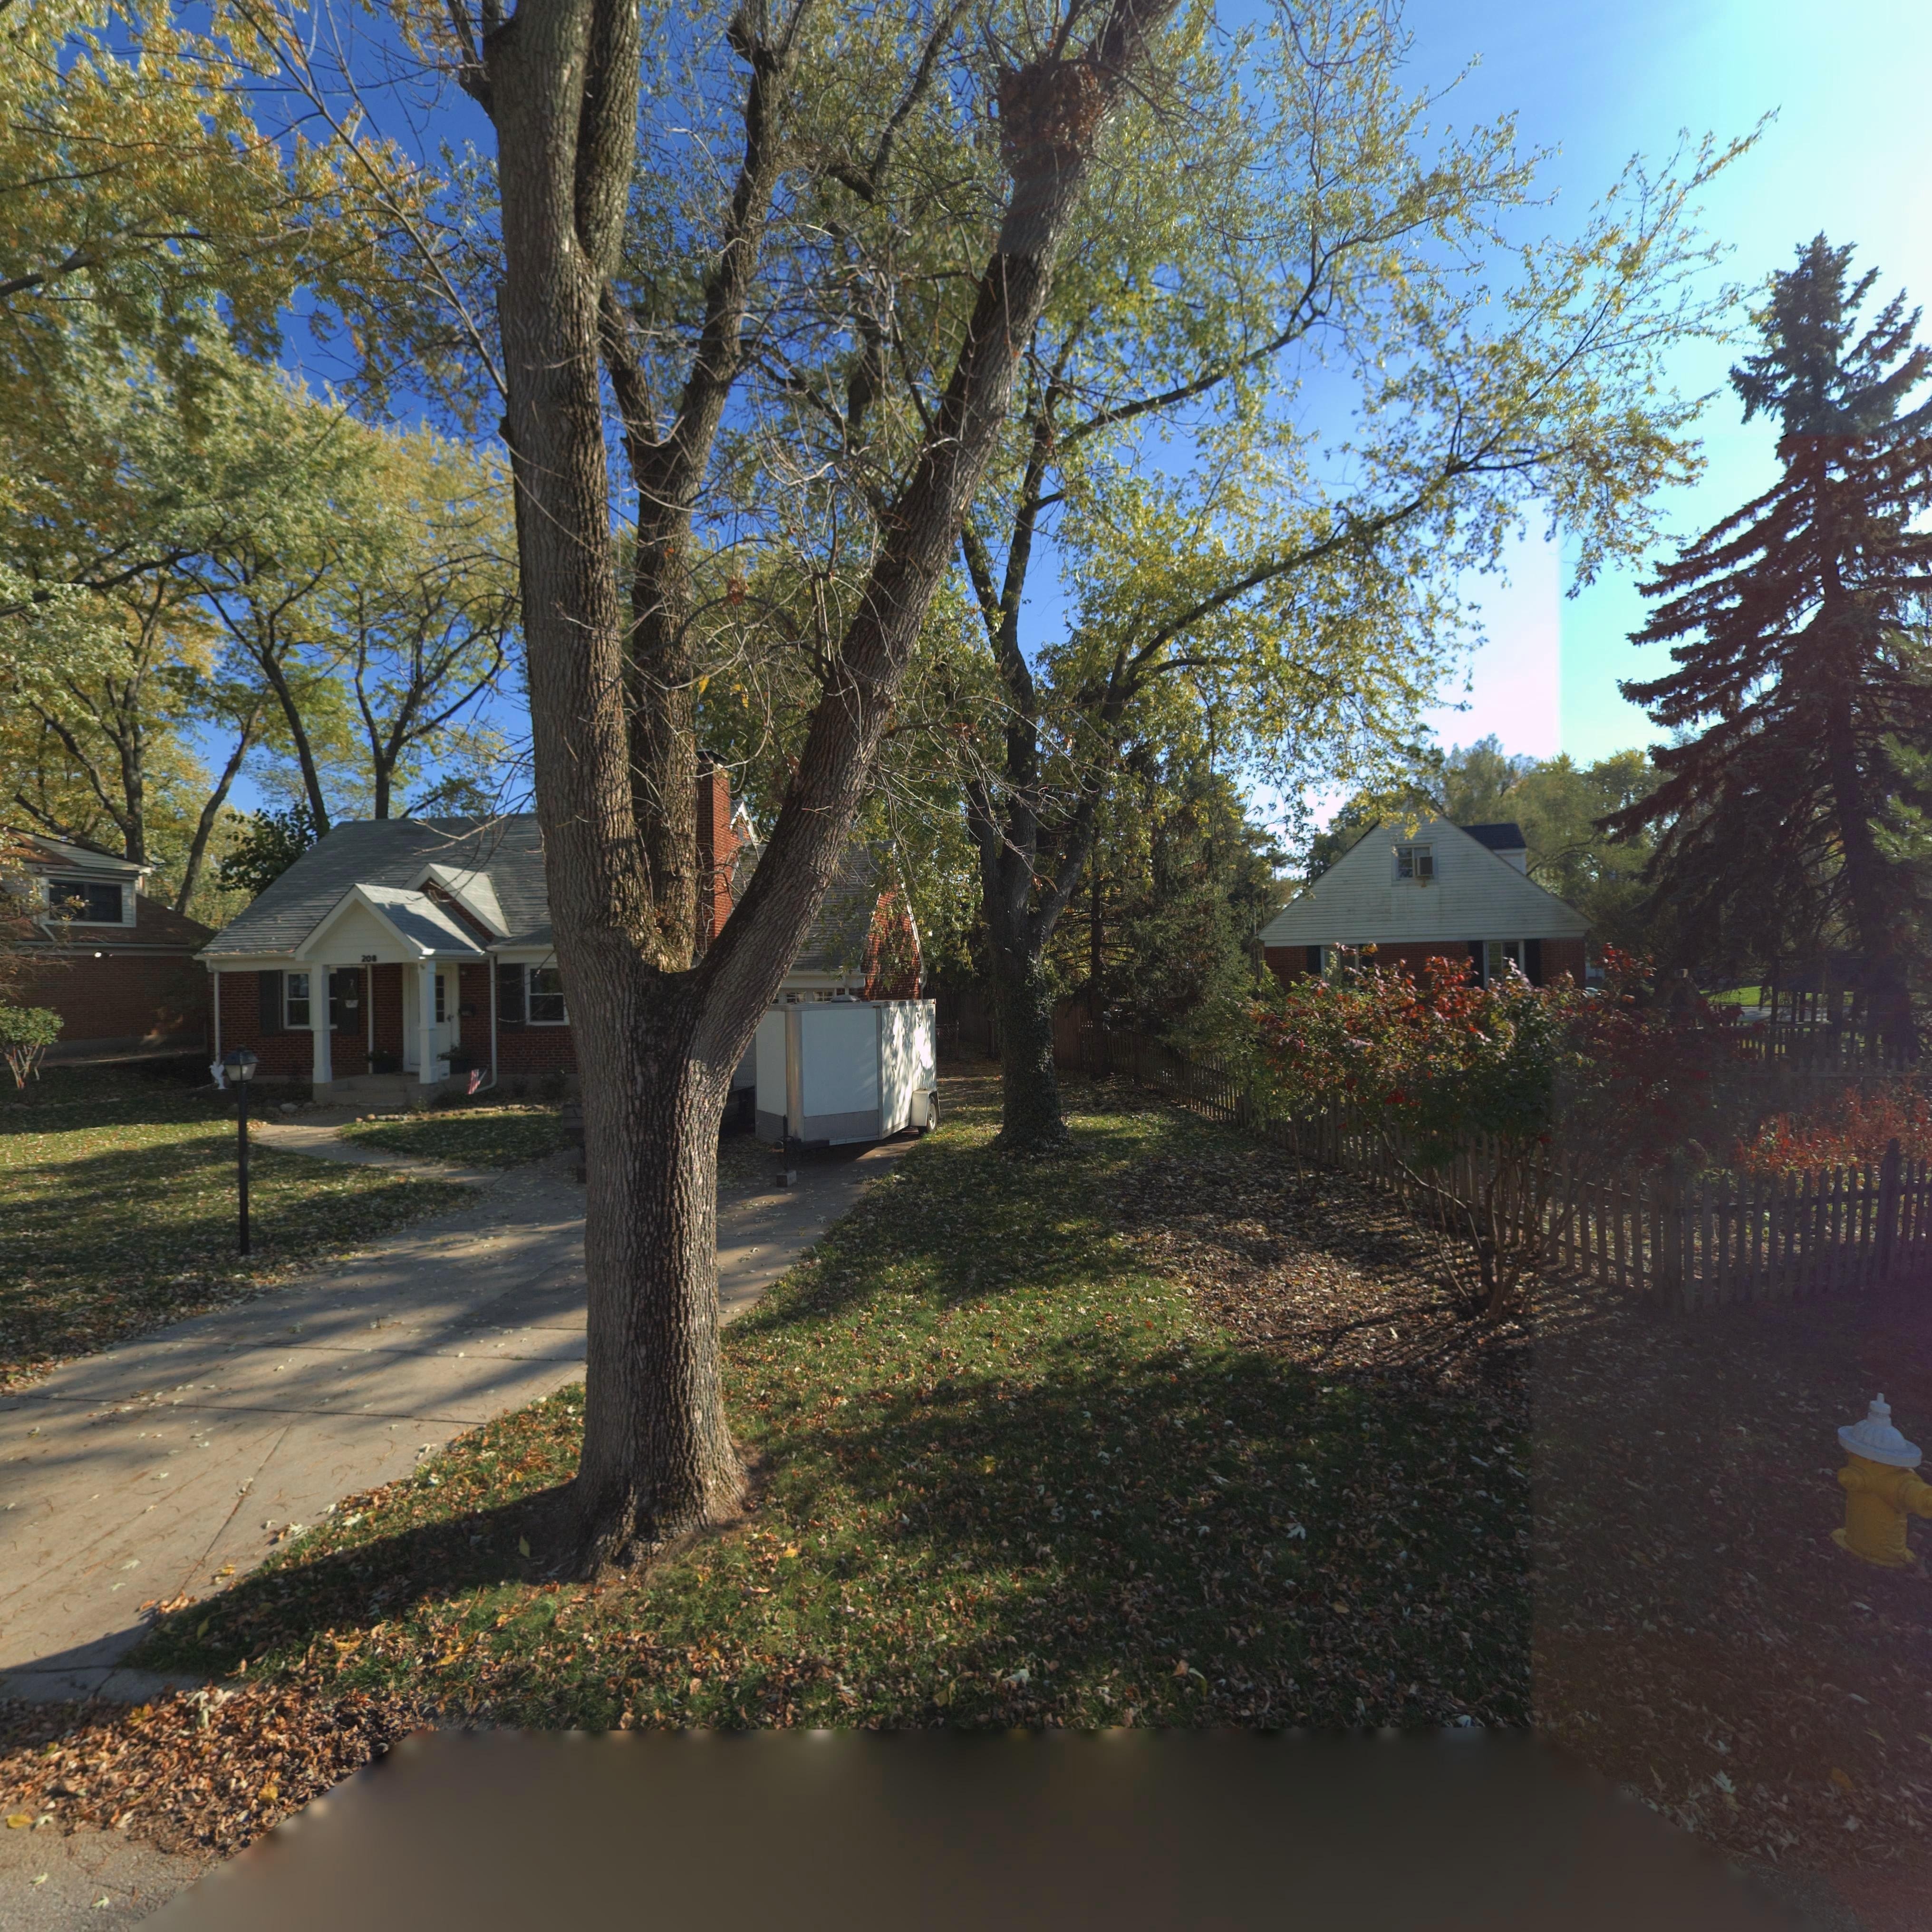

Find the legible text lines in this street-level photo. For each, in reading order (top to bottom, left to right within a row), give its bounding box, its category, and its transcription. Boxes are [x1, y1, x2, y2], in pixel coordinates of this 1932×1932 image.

[360, 954, 378, 963] StreetNumber: 208